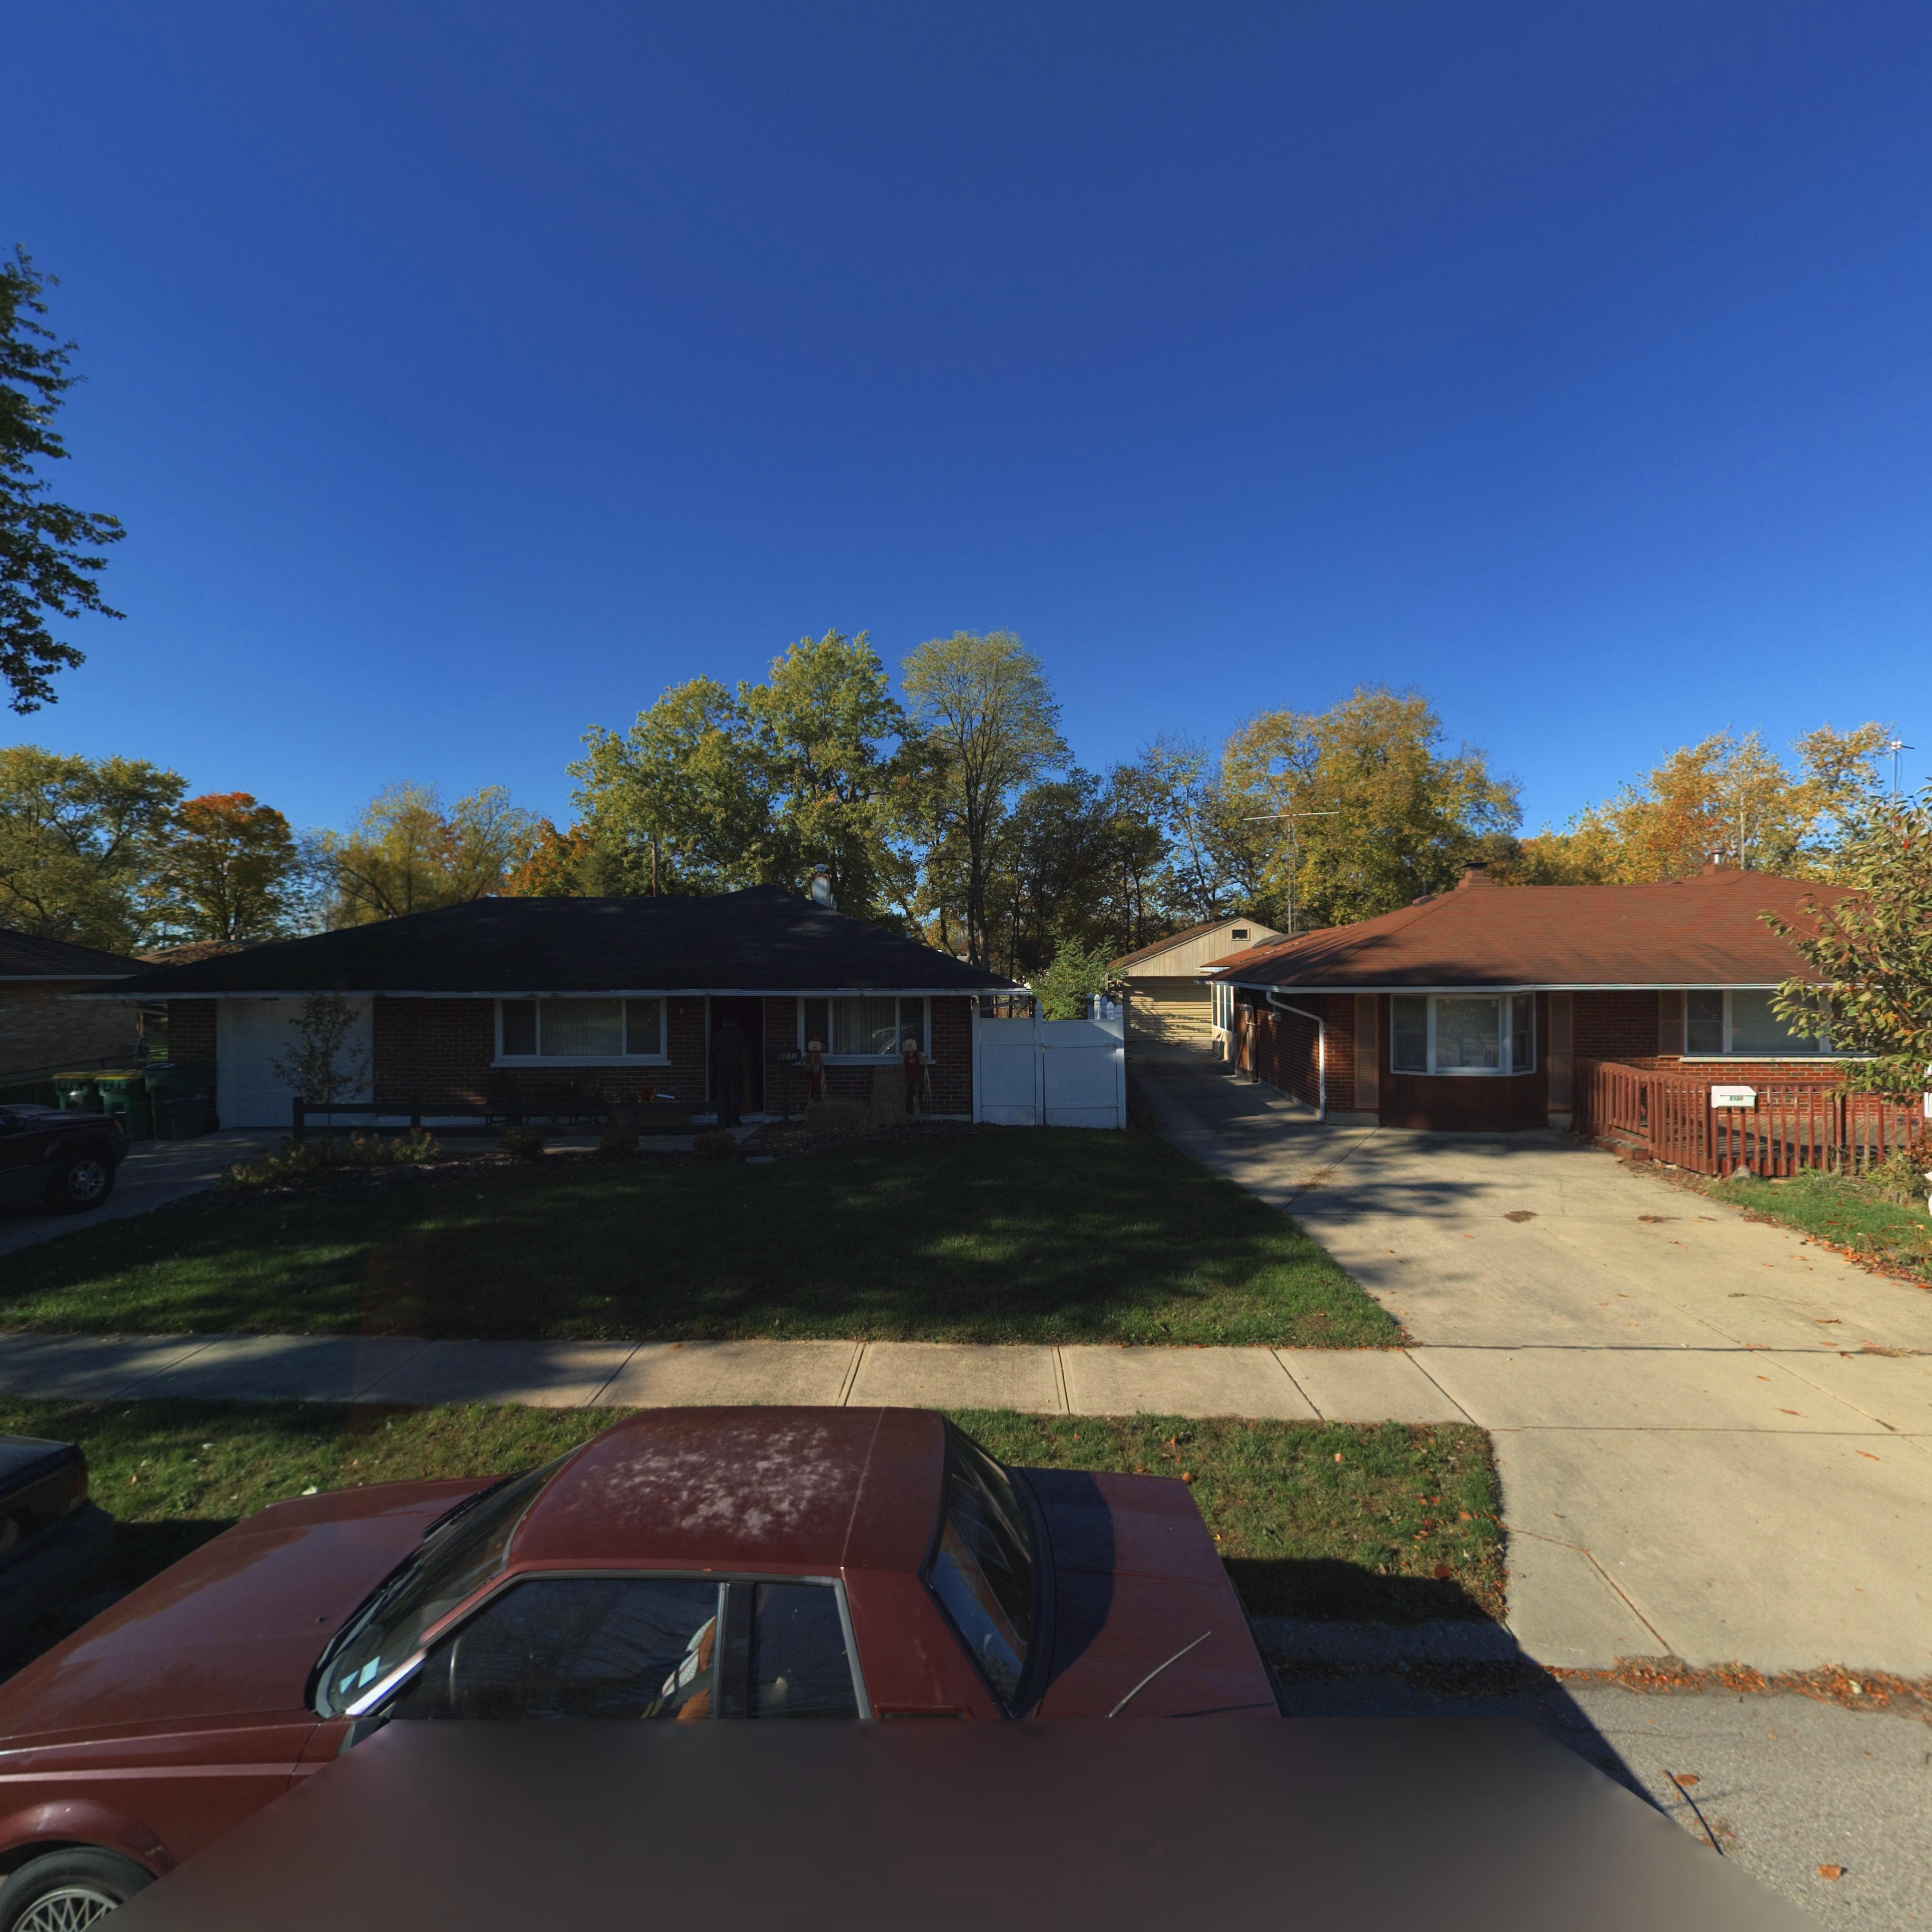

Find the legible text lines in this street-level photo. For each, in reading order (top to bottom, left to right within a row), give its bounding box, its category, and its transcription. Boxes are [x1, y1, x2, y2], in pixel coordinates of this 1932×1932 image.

[778, 1053, 798, 1060] StreetNumber: 5137
[1729, 1095, 1744, 1101] StreetNumber: 5133